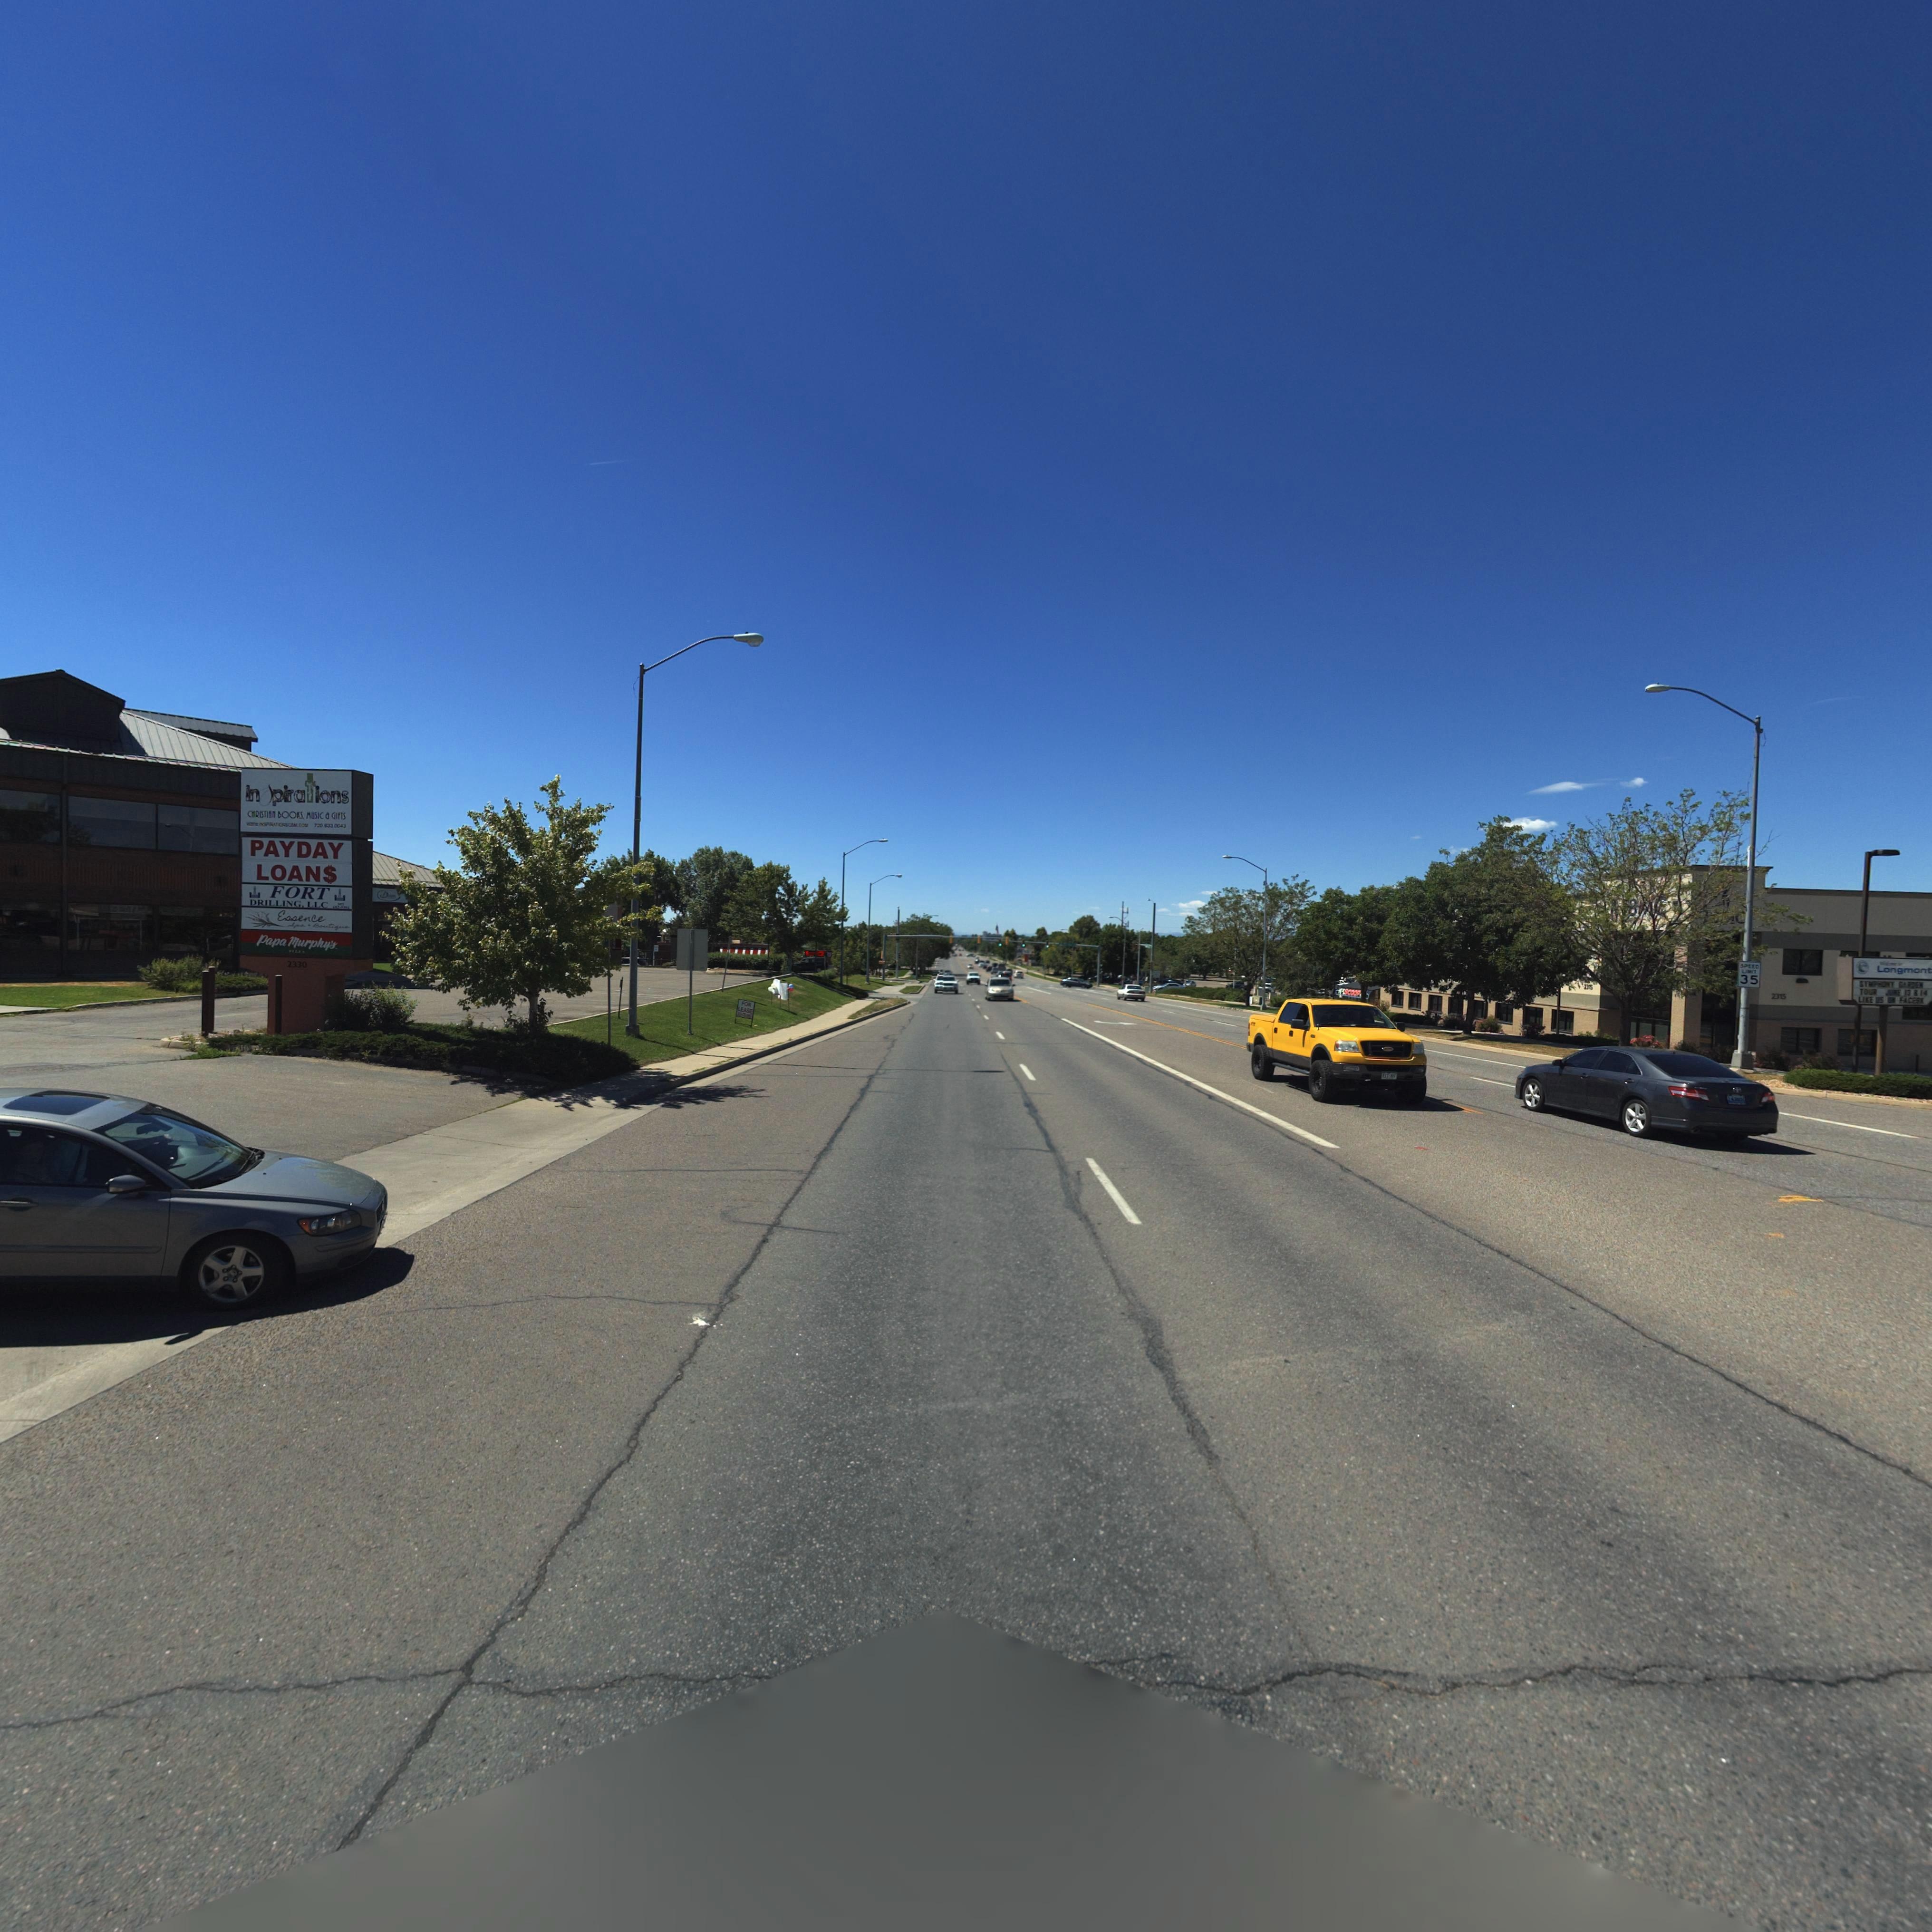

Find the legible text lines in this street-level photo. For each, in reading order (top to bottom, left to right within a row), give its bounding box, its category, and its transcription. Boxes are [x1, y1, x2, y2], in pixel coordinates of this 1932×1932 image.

[244, 772, 349, 807] BusinessName: in*pirations
[250, 839, 345, 860] BusinessName: PAYDAY
[256, 863, 337, 884] BusinessName: LOAN$
[269, 885, 330, 900] BusinessName: FORT
[379, 890, 396, 898] BusinessName: D*****
[250, 898, 328, 908] BusinessName: DRILLING, LLC
[277, 909, 326, 923] BusinessName: Essence
[255, 933, 338, 950] BusinessName: Papa Murphy's
[287, 960, 308, 967] StreetNumber: 2330
[1583, 984, 1593, 990] StreetNumber: 23*5
[1771, 992, 1786, 1000] StreetNumber: 23*5